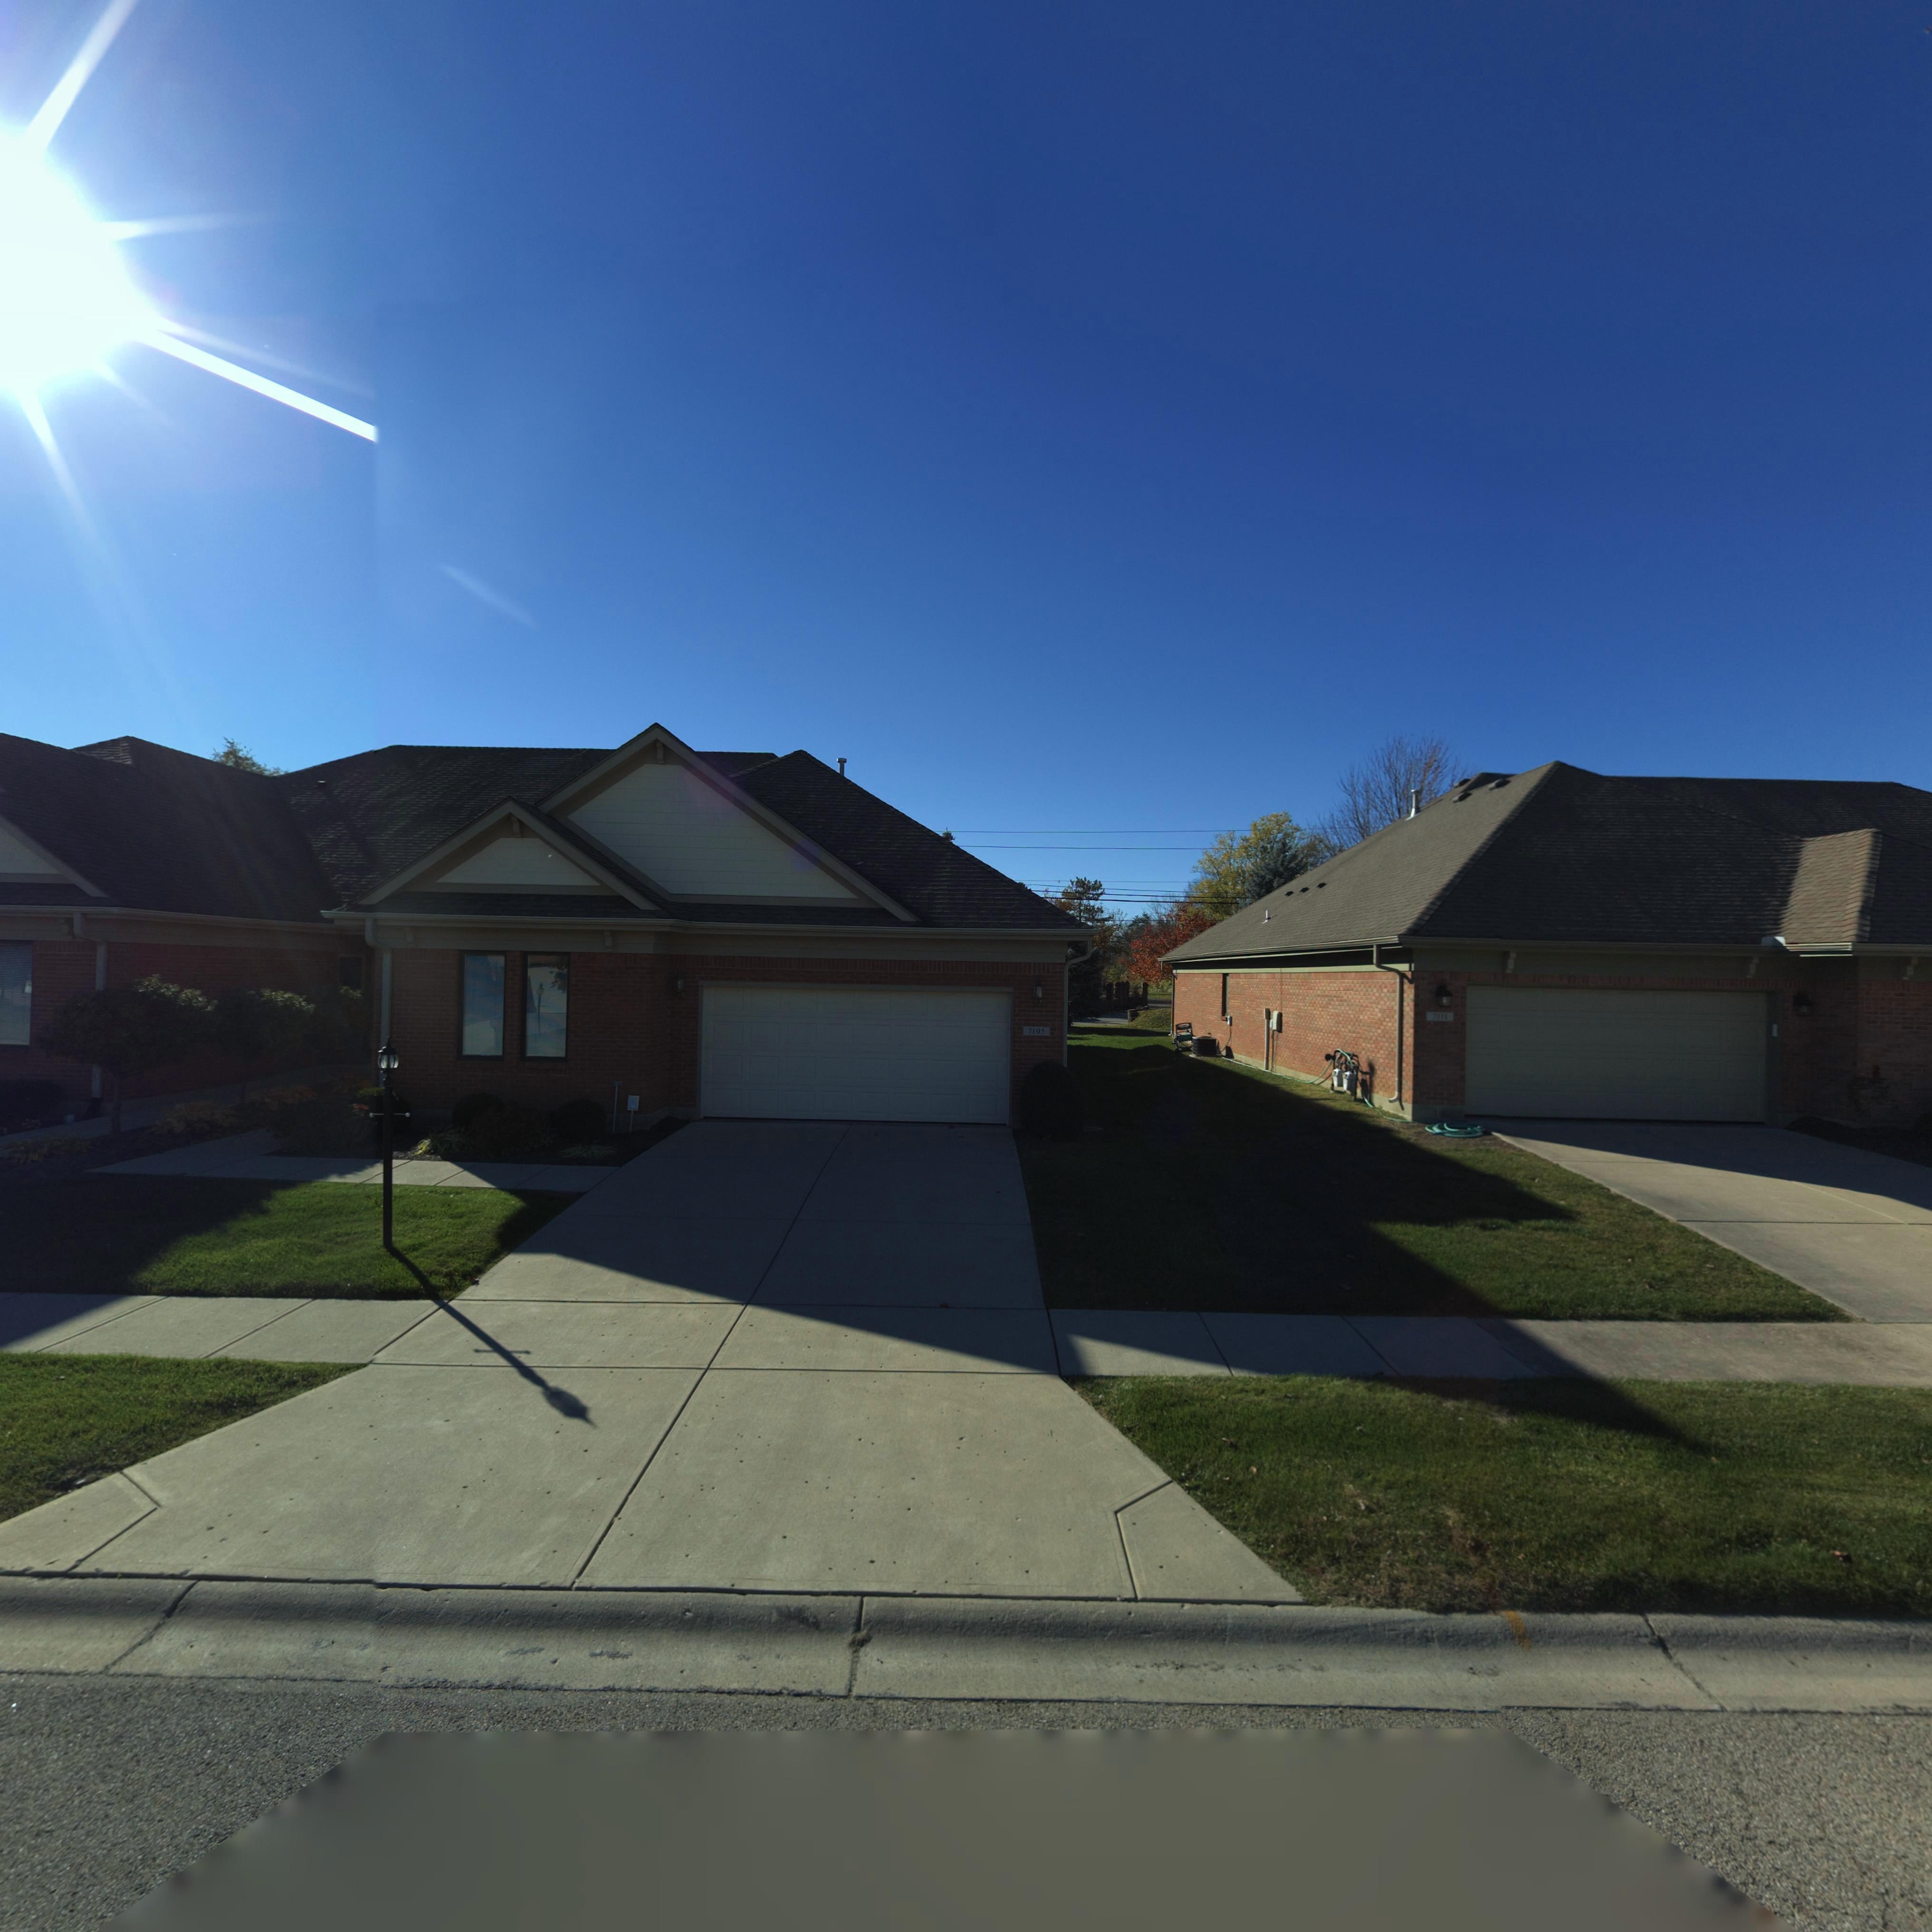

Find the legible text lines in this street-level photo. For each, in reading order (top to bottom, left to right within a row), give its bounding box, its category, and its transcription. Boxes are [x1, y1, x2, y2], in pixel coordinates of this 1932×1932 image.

[1432, 1013, 1448, 1020] StreetNumber: 7111
[1028, 1027, 1045, 1034] StreetNumber: 7105